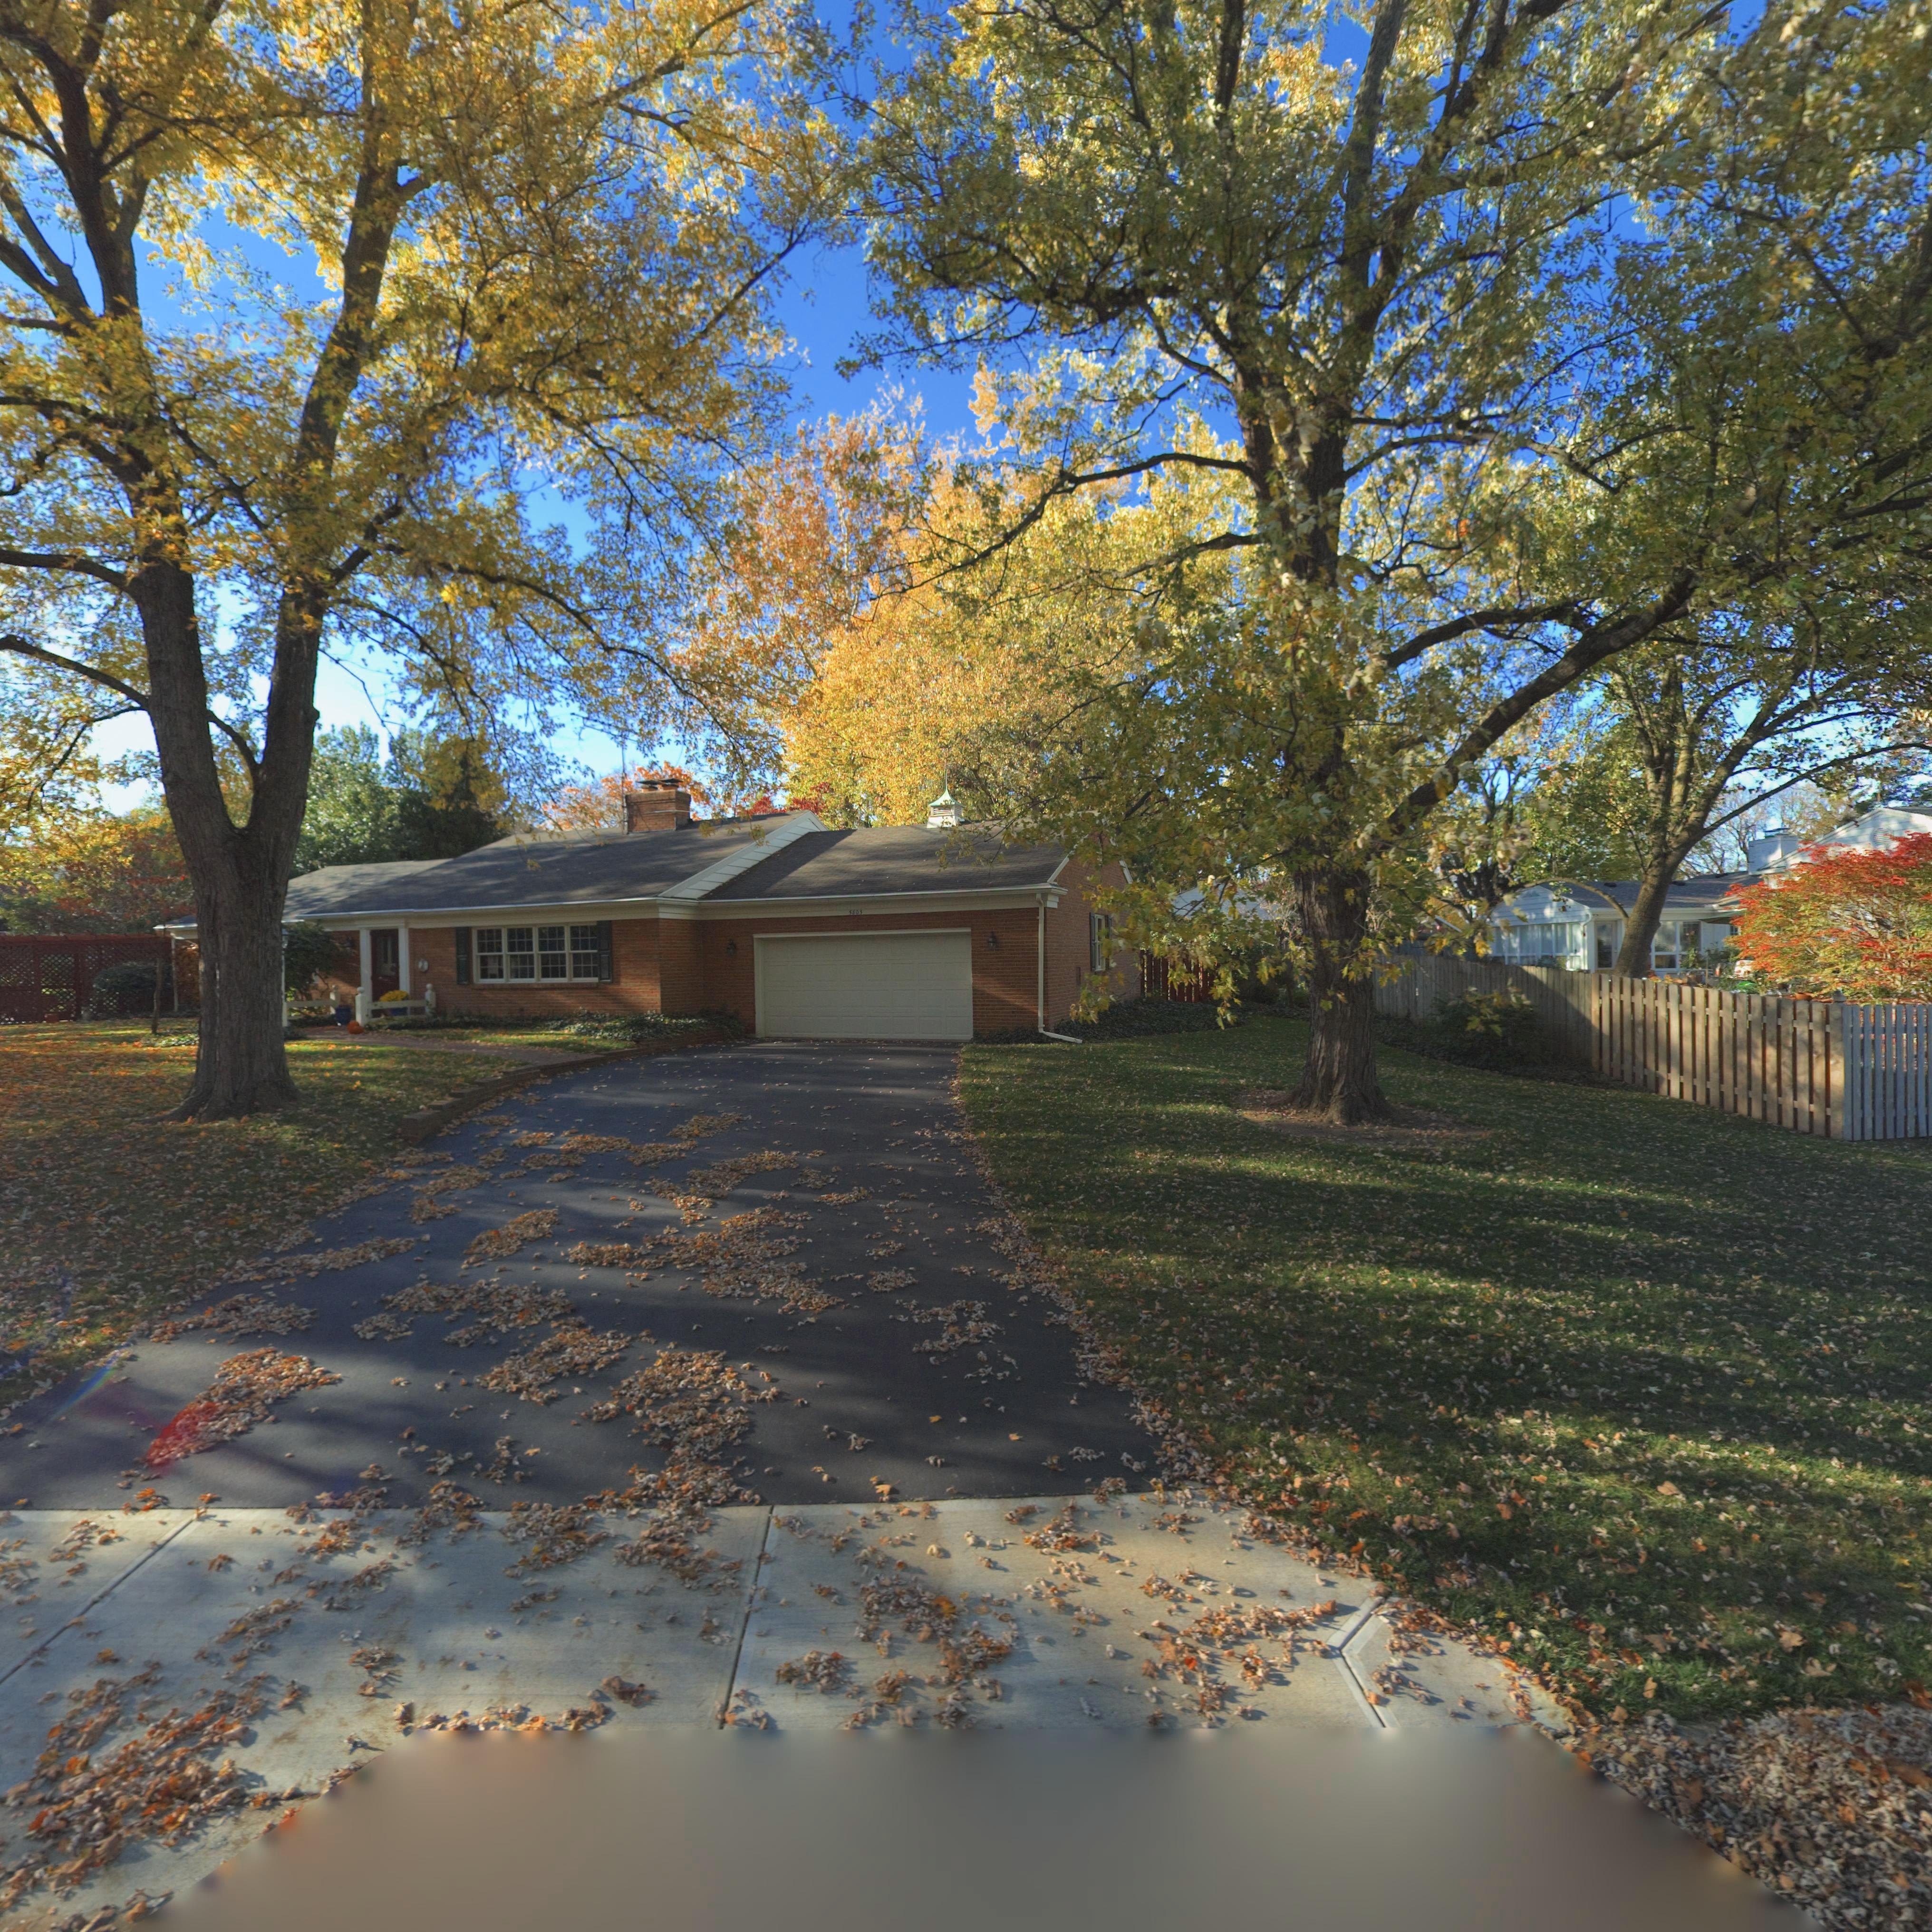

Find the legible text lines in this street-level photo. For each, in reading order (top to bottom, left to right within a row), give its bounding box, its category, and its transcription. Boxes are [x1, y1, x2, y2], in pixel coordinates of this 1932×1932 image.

[848, 908, 862, 915] StreetNumber: 5805